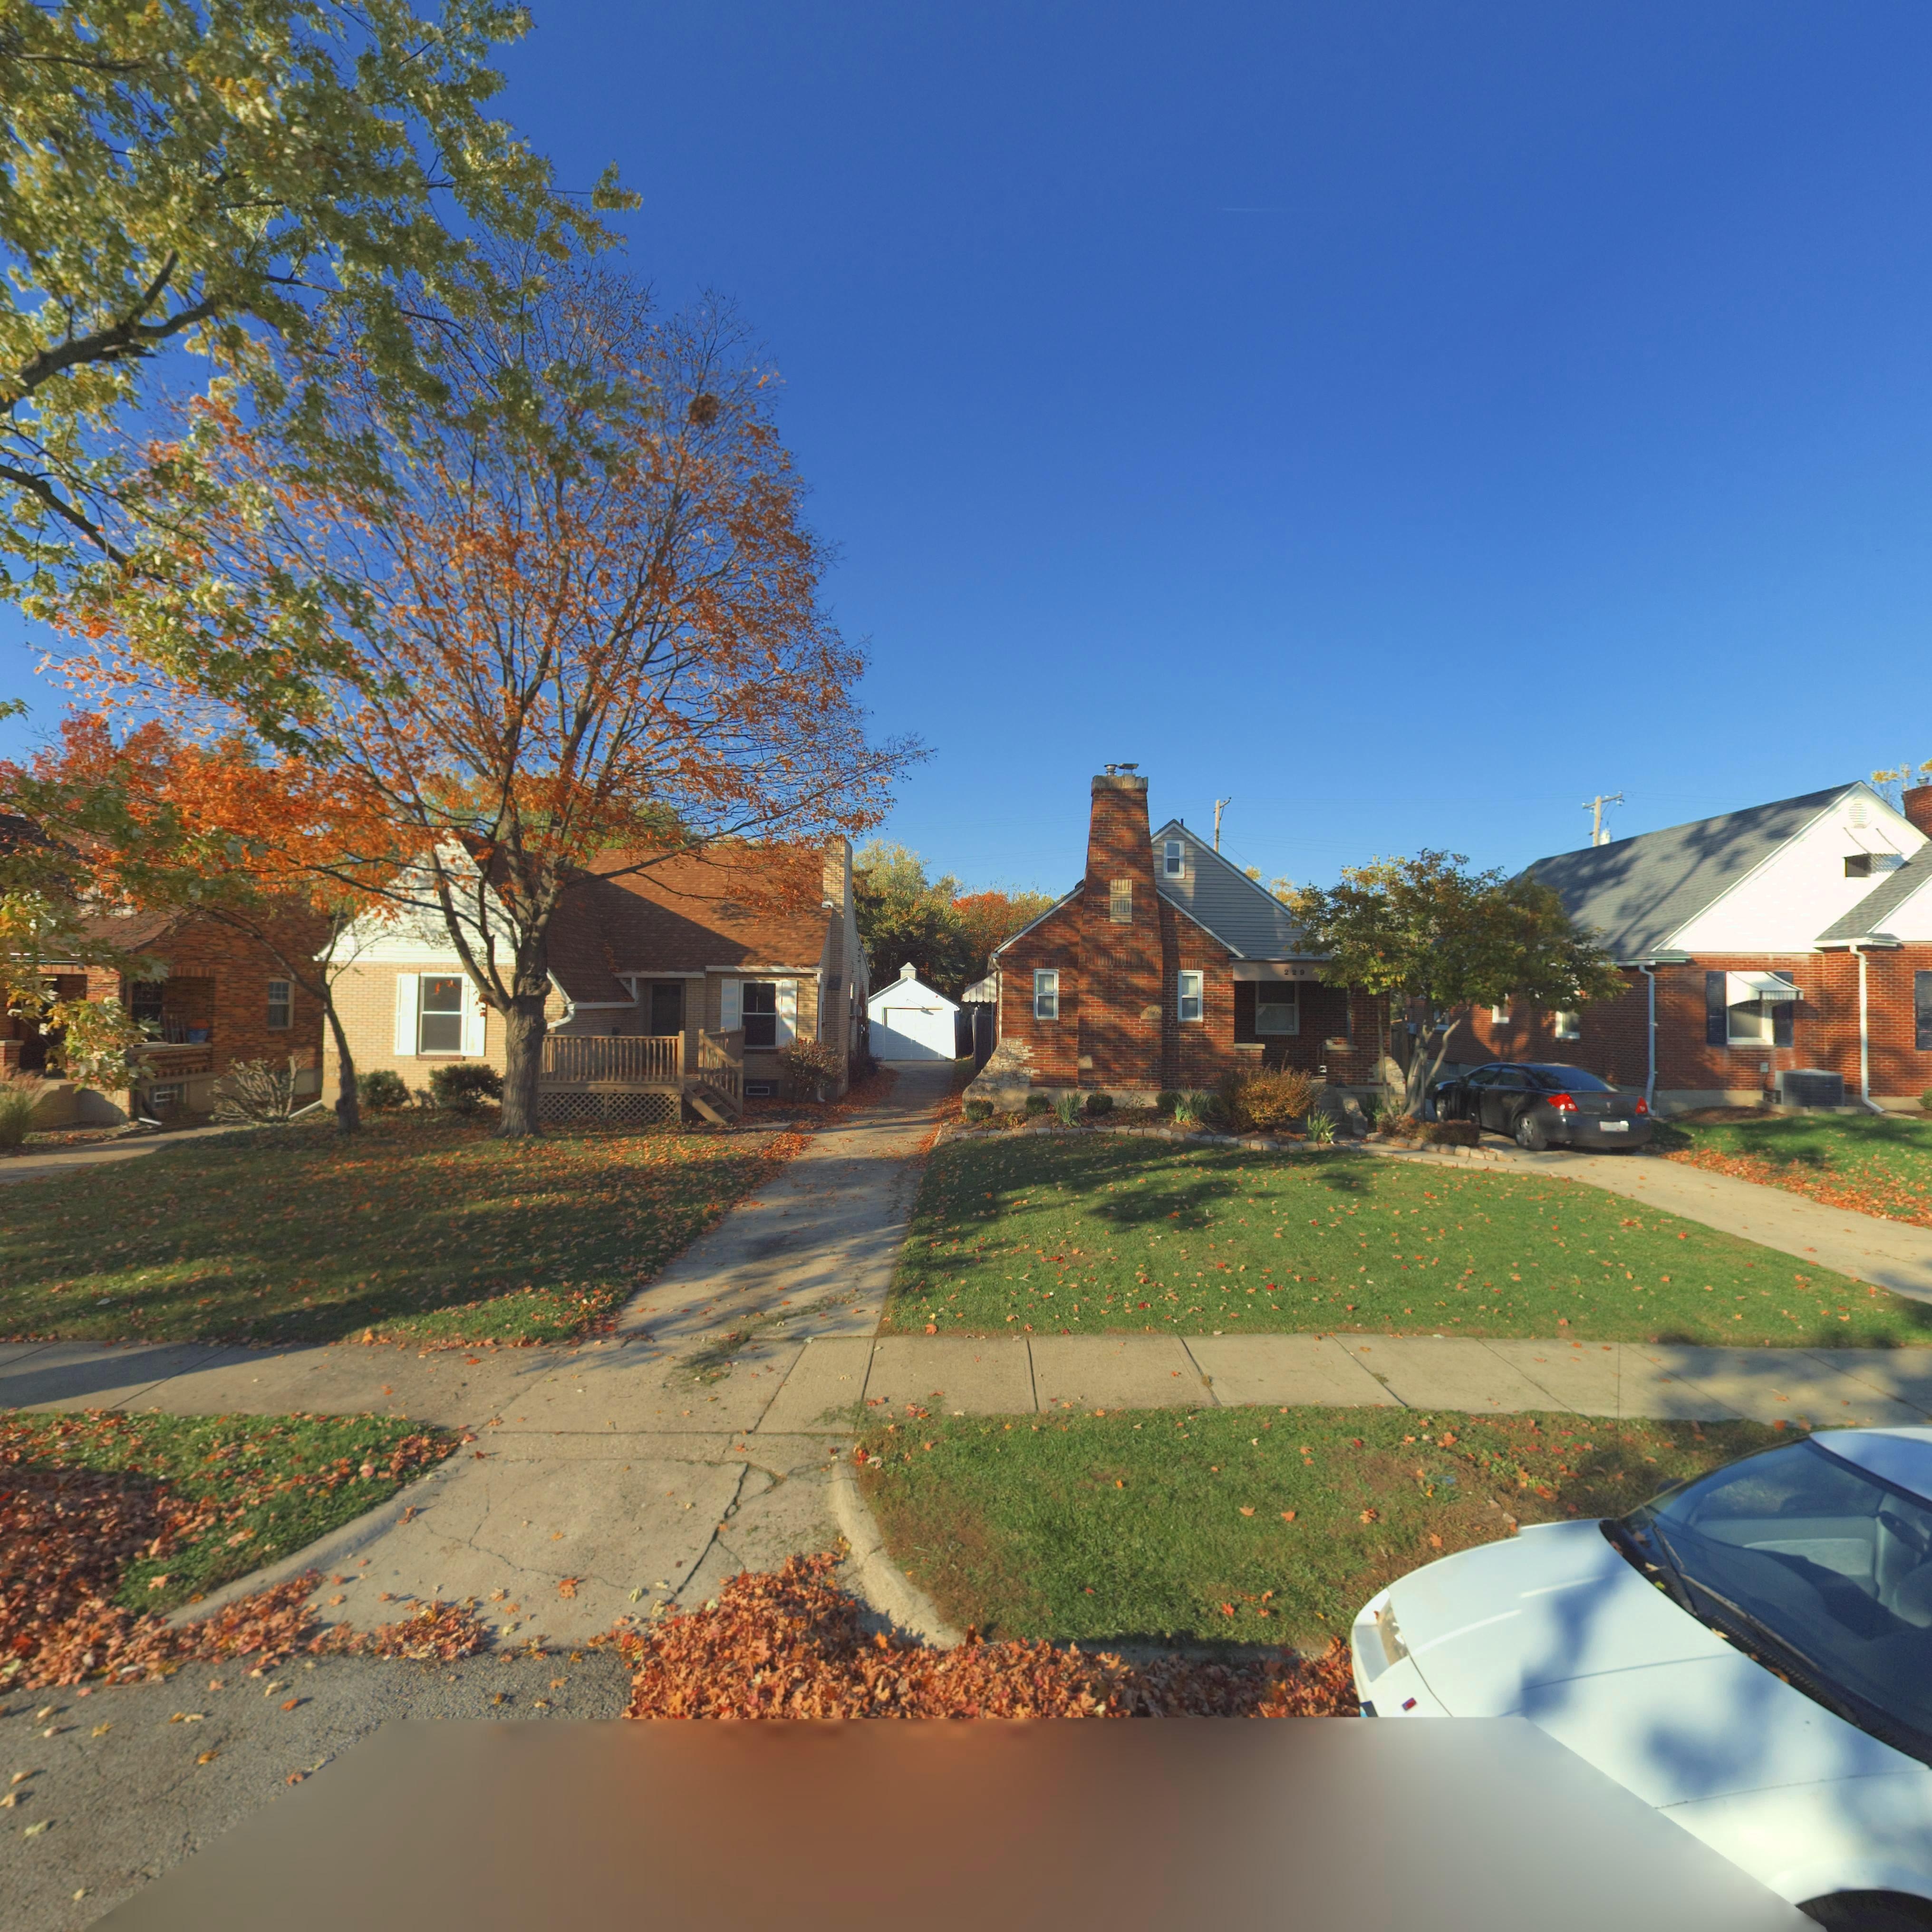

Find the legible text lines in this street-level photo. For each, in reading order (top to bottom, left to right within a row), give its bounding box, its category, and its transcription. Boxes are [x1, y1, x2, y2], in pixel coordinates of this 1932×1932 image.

[1284, 969, 1304, 975] StreetNumber: 229